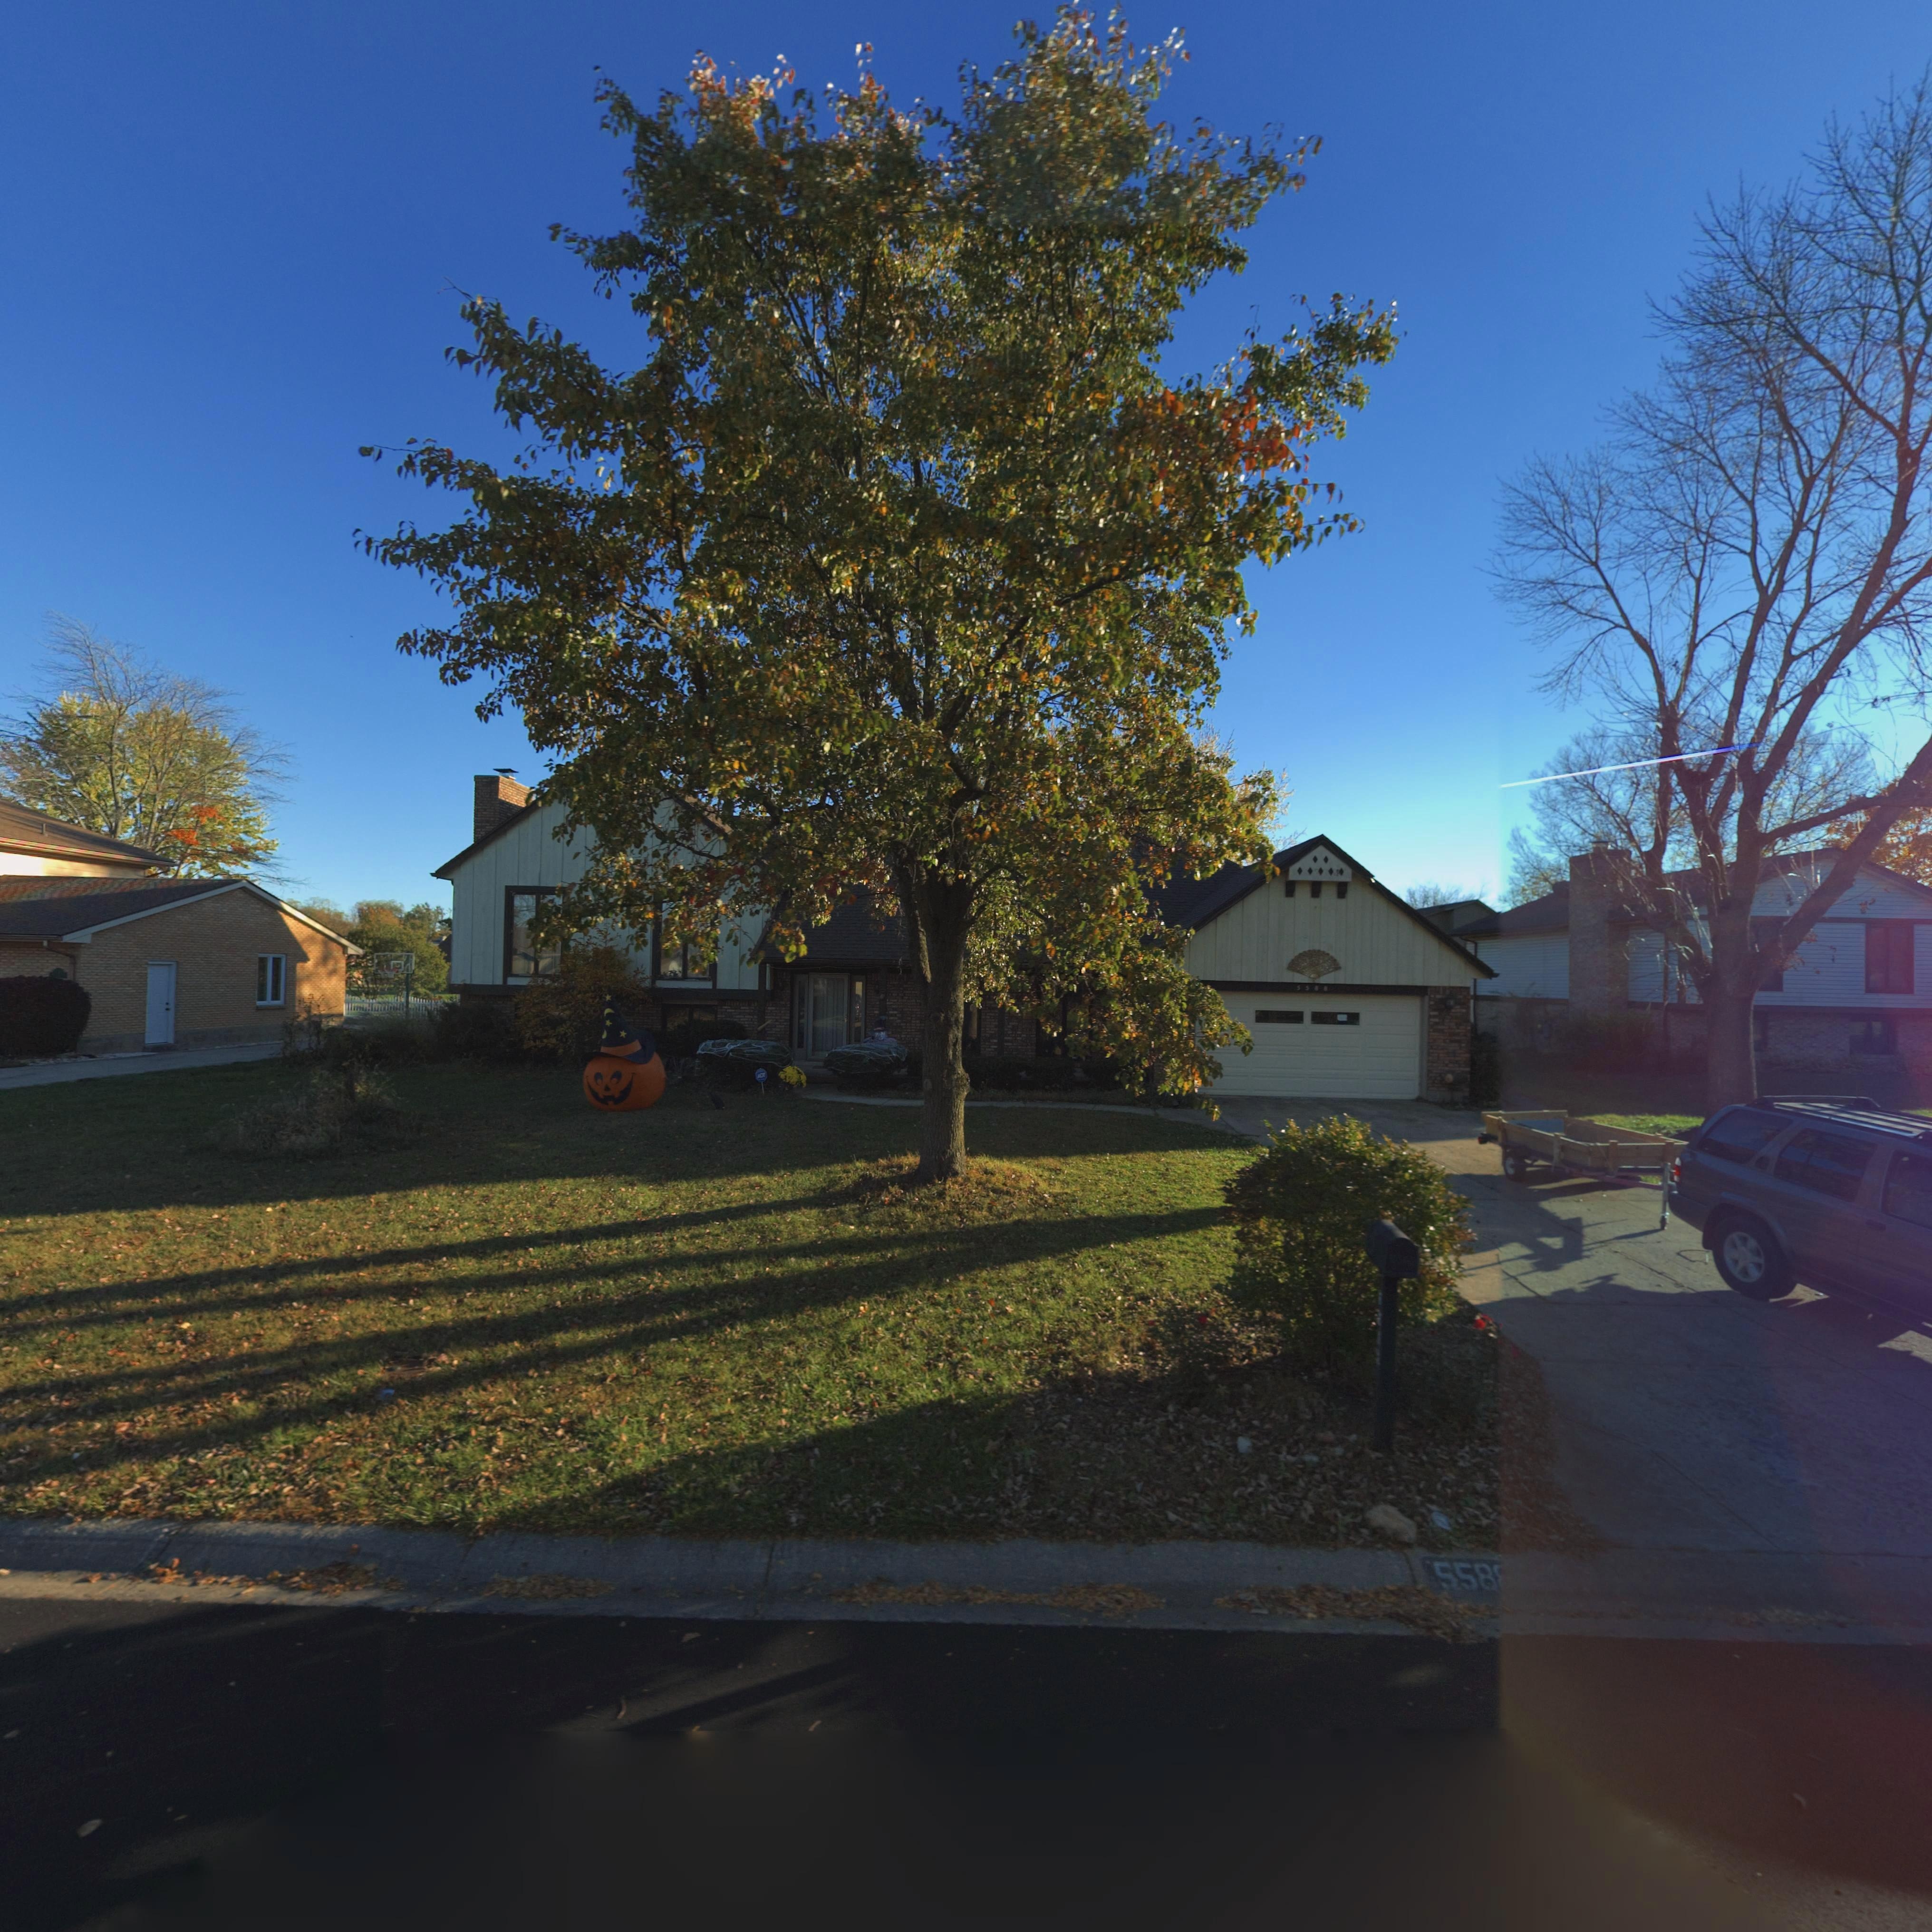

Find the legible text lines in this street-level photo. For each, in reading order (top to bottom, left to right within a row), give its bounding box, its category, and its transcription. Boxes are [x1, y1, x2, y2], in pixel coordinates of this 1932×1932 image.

[1295, 984, 1329, 992] StreetNumber: 55**
[1429, 1559, 1501, 1593] StreetNumber: 558